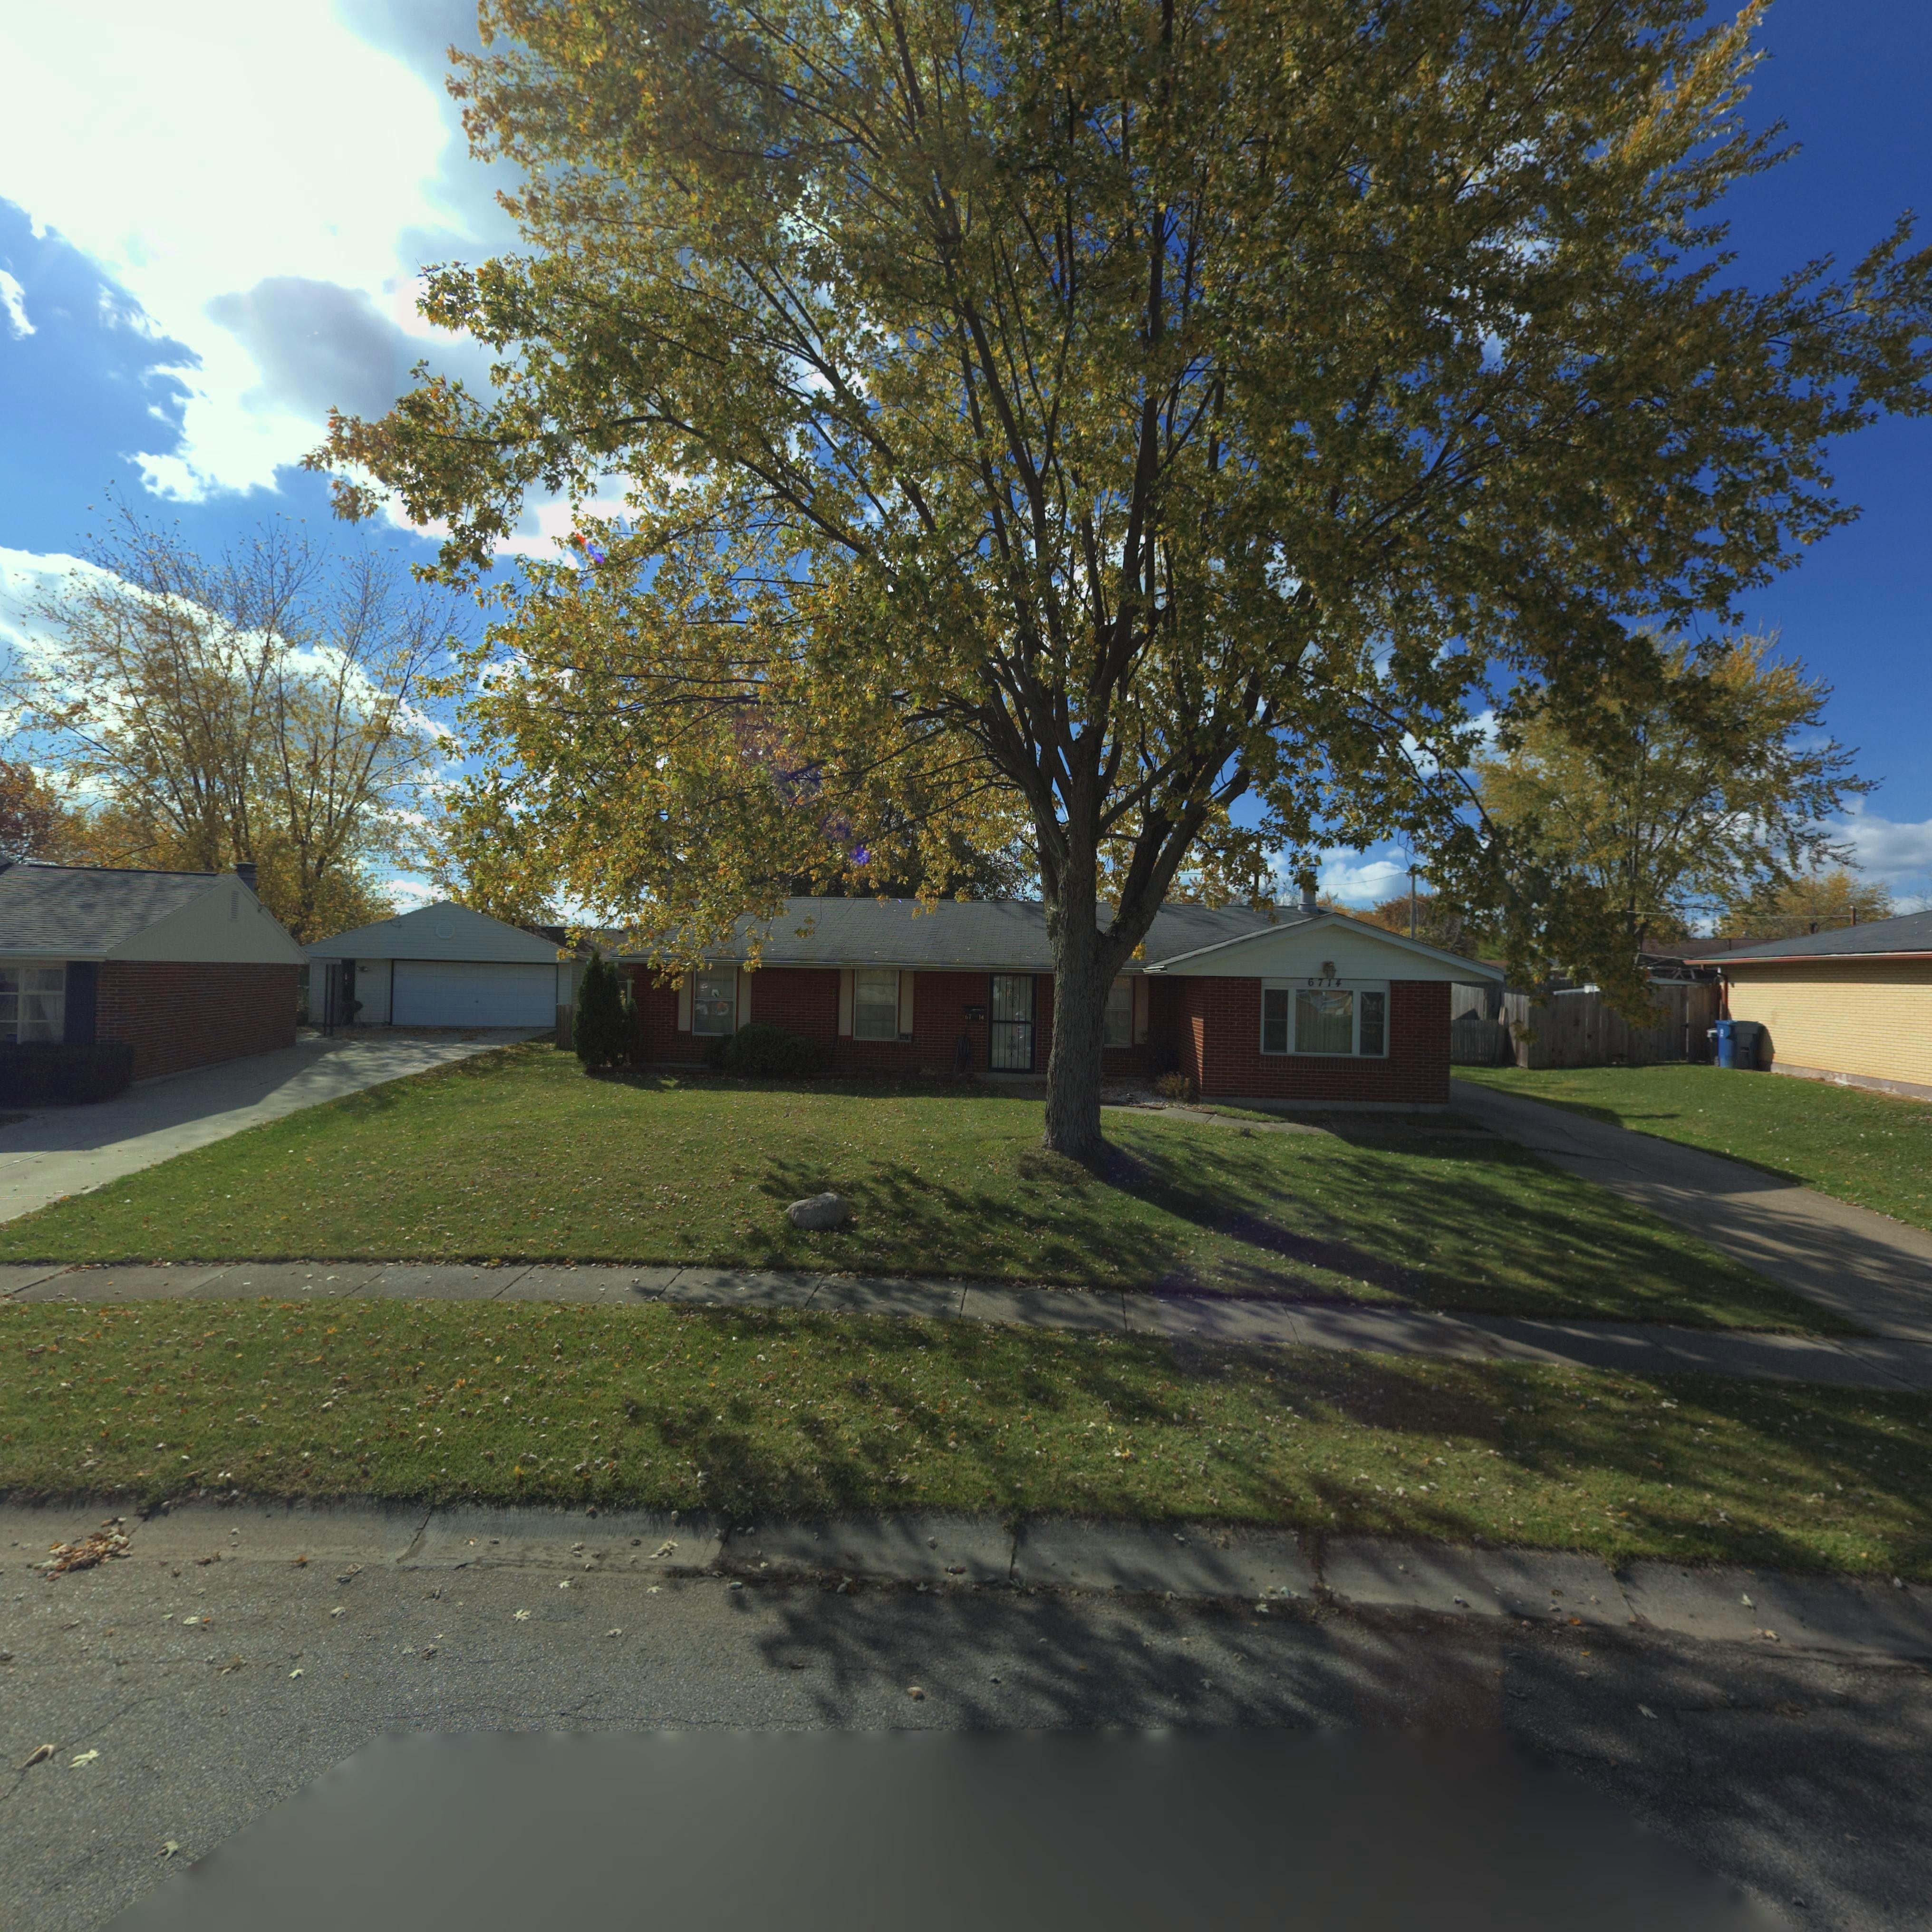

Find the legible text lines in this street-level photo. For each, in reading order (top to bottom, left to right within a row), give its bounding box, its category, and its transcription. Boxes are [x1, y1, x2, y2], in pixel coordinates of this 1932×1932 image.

[1307, 977, 1343, 987] StreetNumber: 6714
[965, 1014, 985, 1020] StreetNumber: 67*14